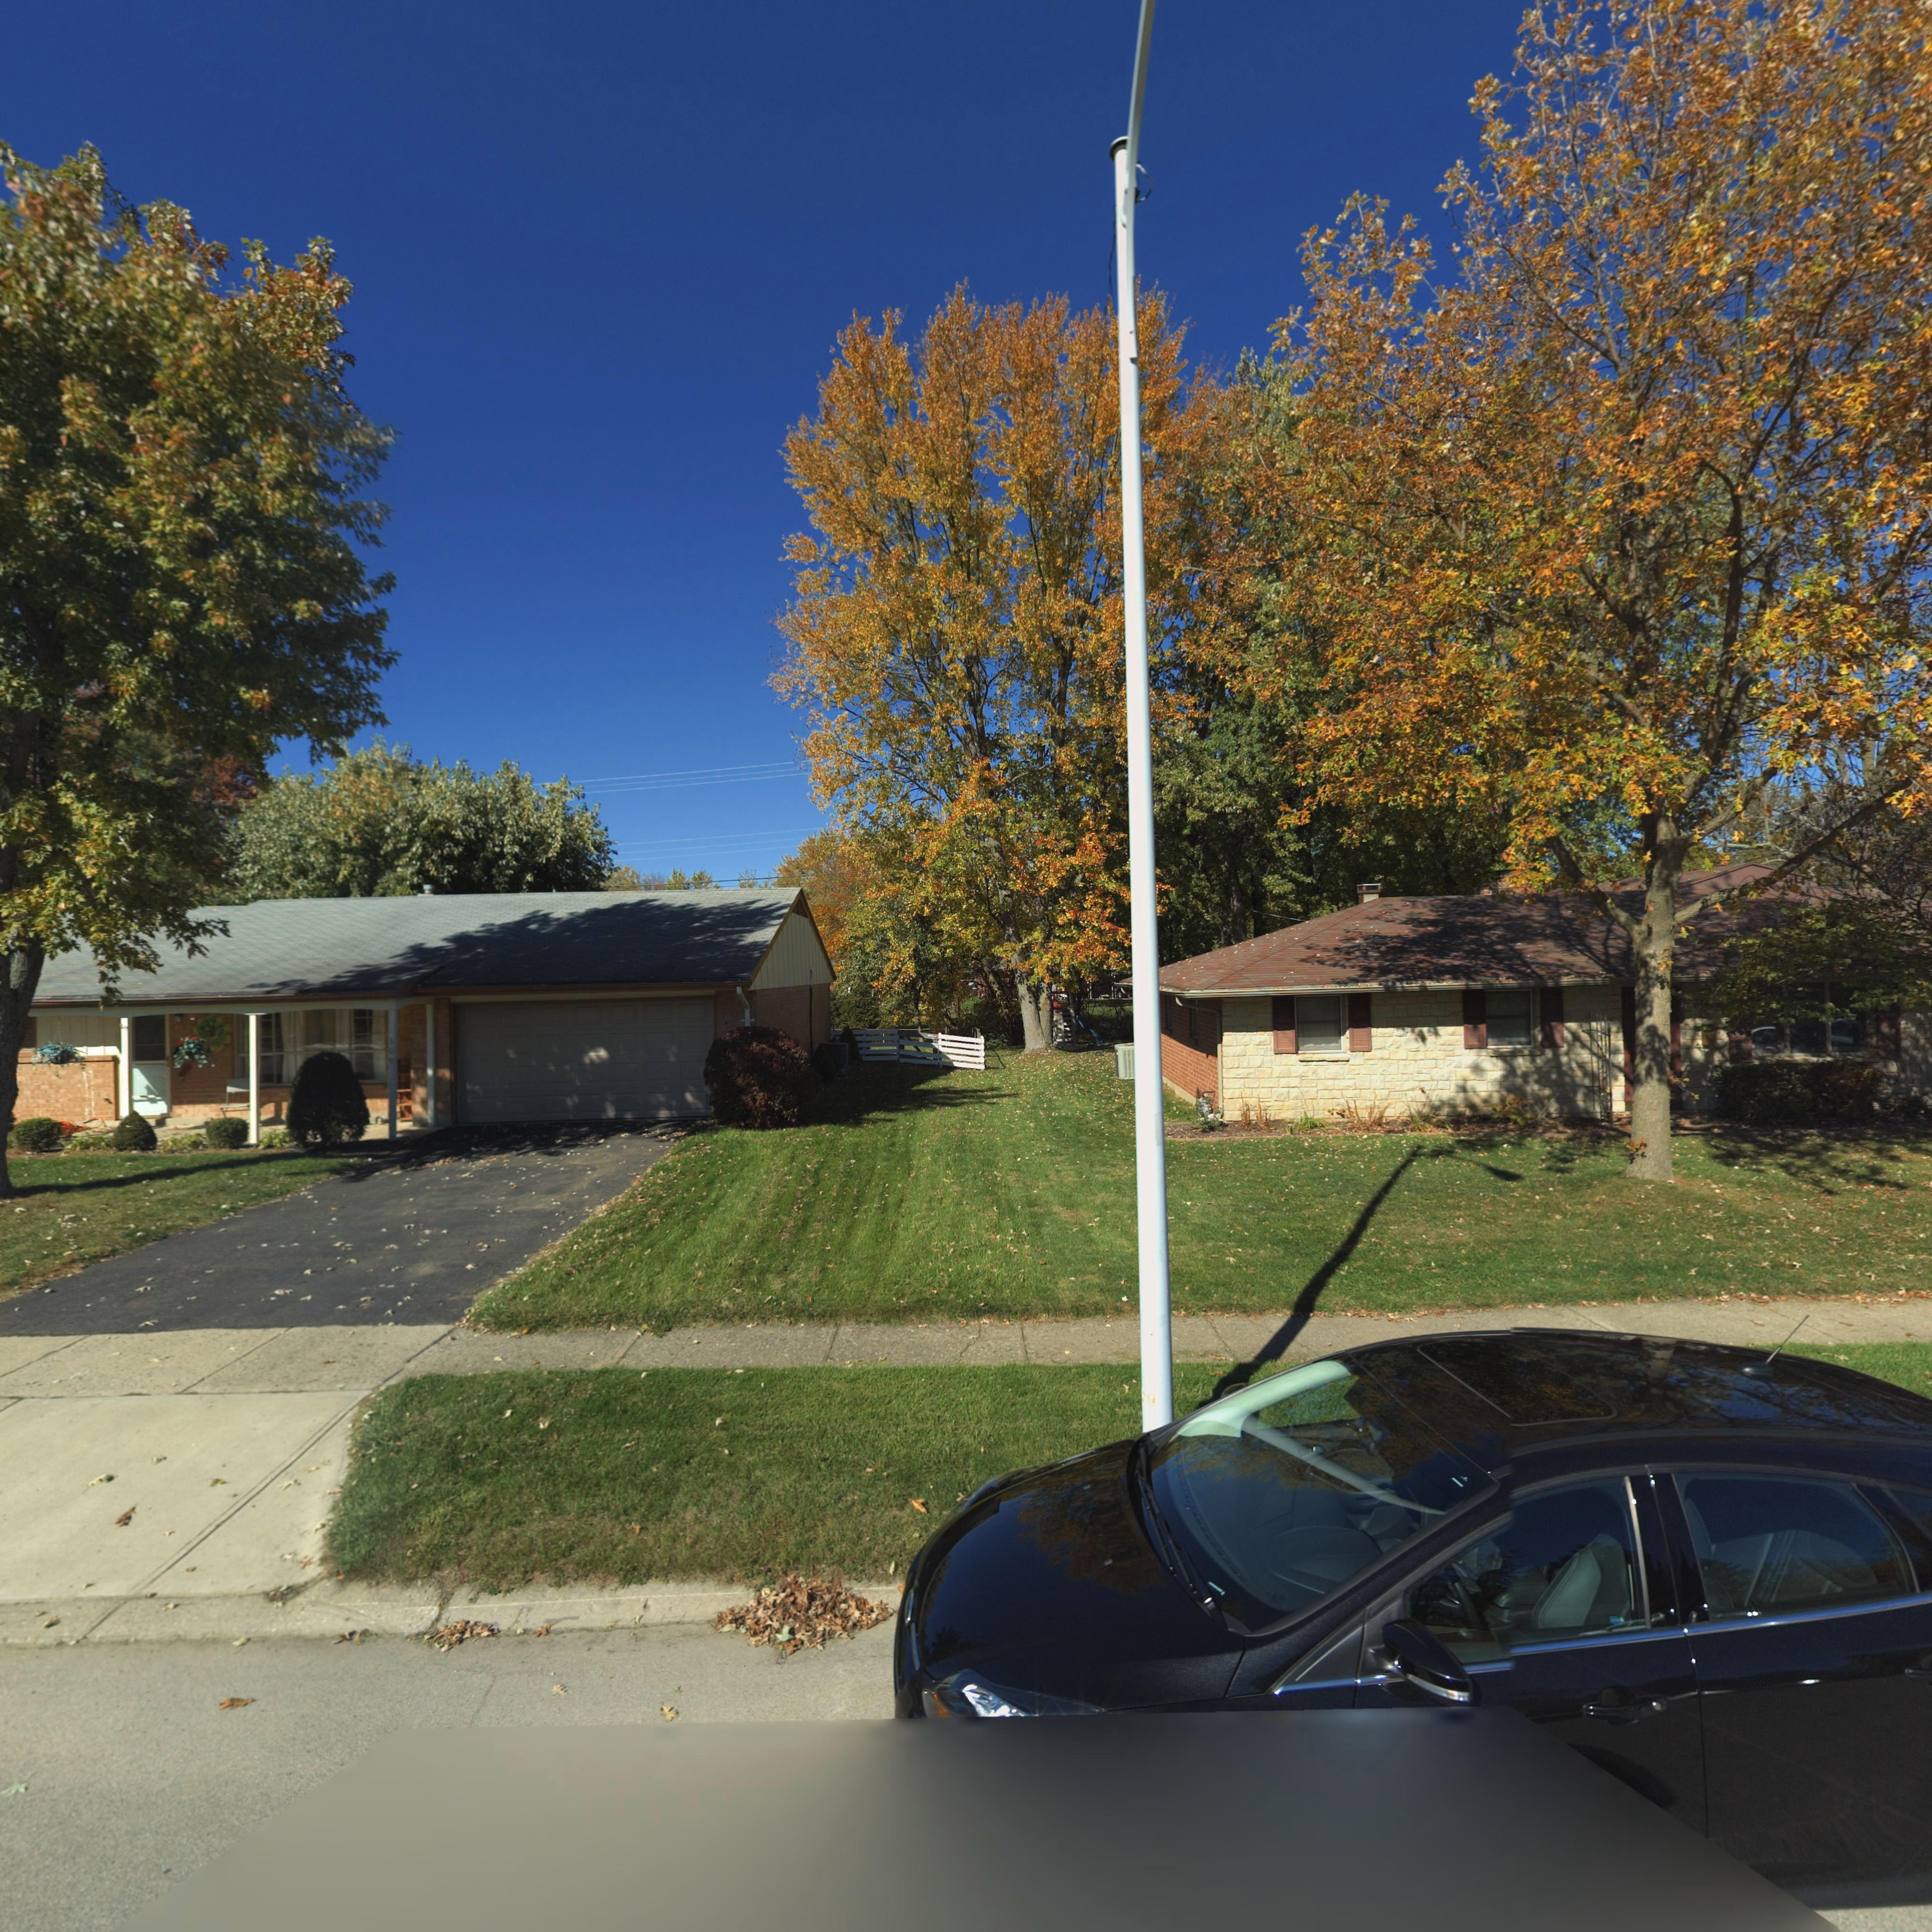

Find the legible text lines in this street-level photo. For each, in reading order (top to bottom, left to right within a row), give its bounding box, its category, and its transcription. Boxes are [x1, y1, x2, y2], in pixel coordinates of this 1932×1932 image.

[387, 1036, 395, 1066] StreetNumber: *09